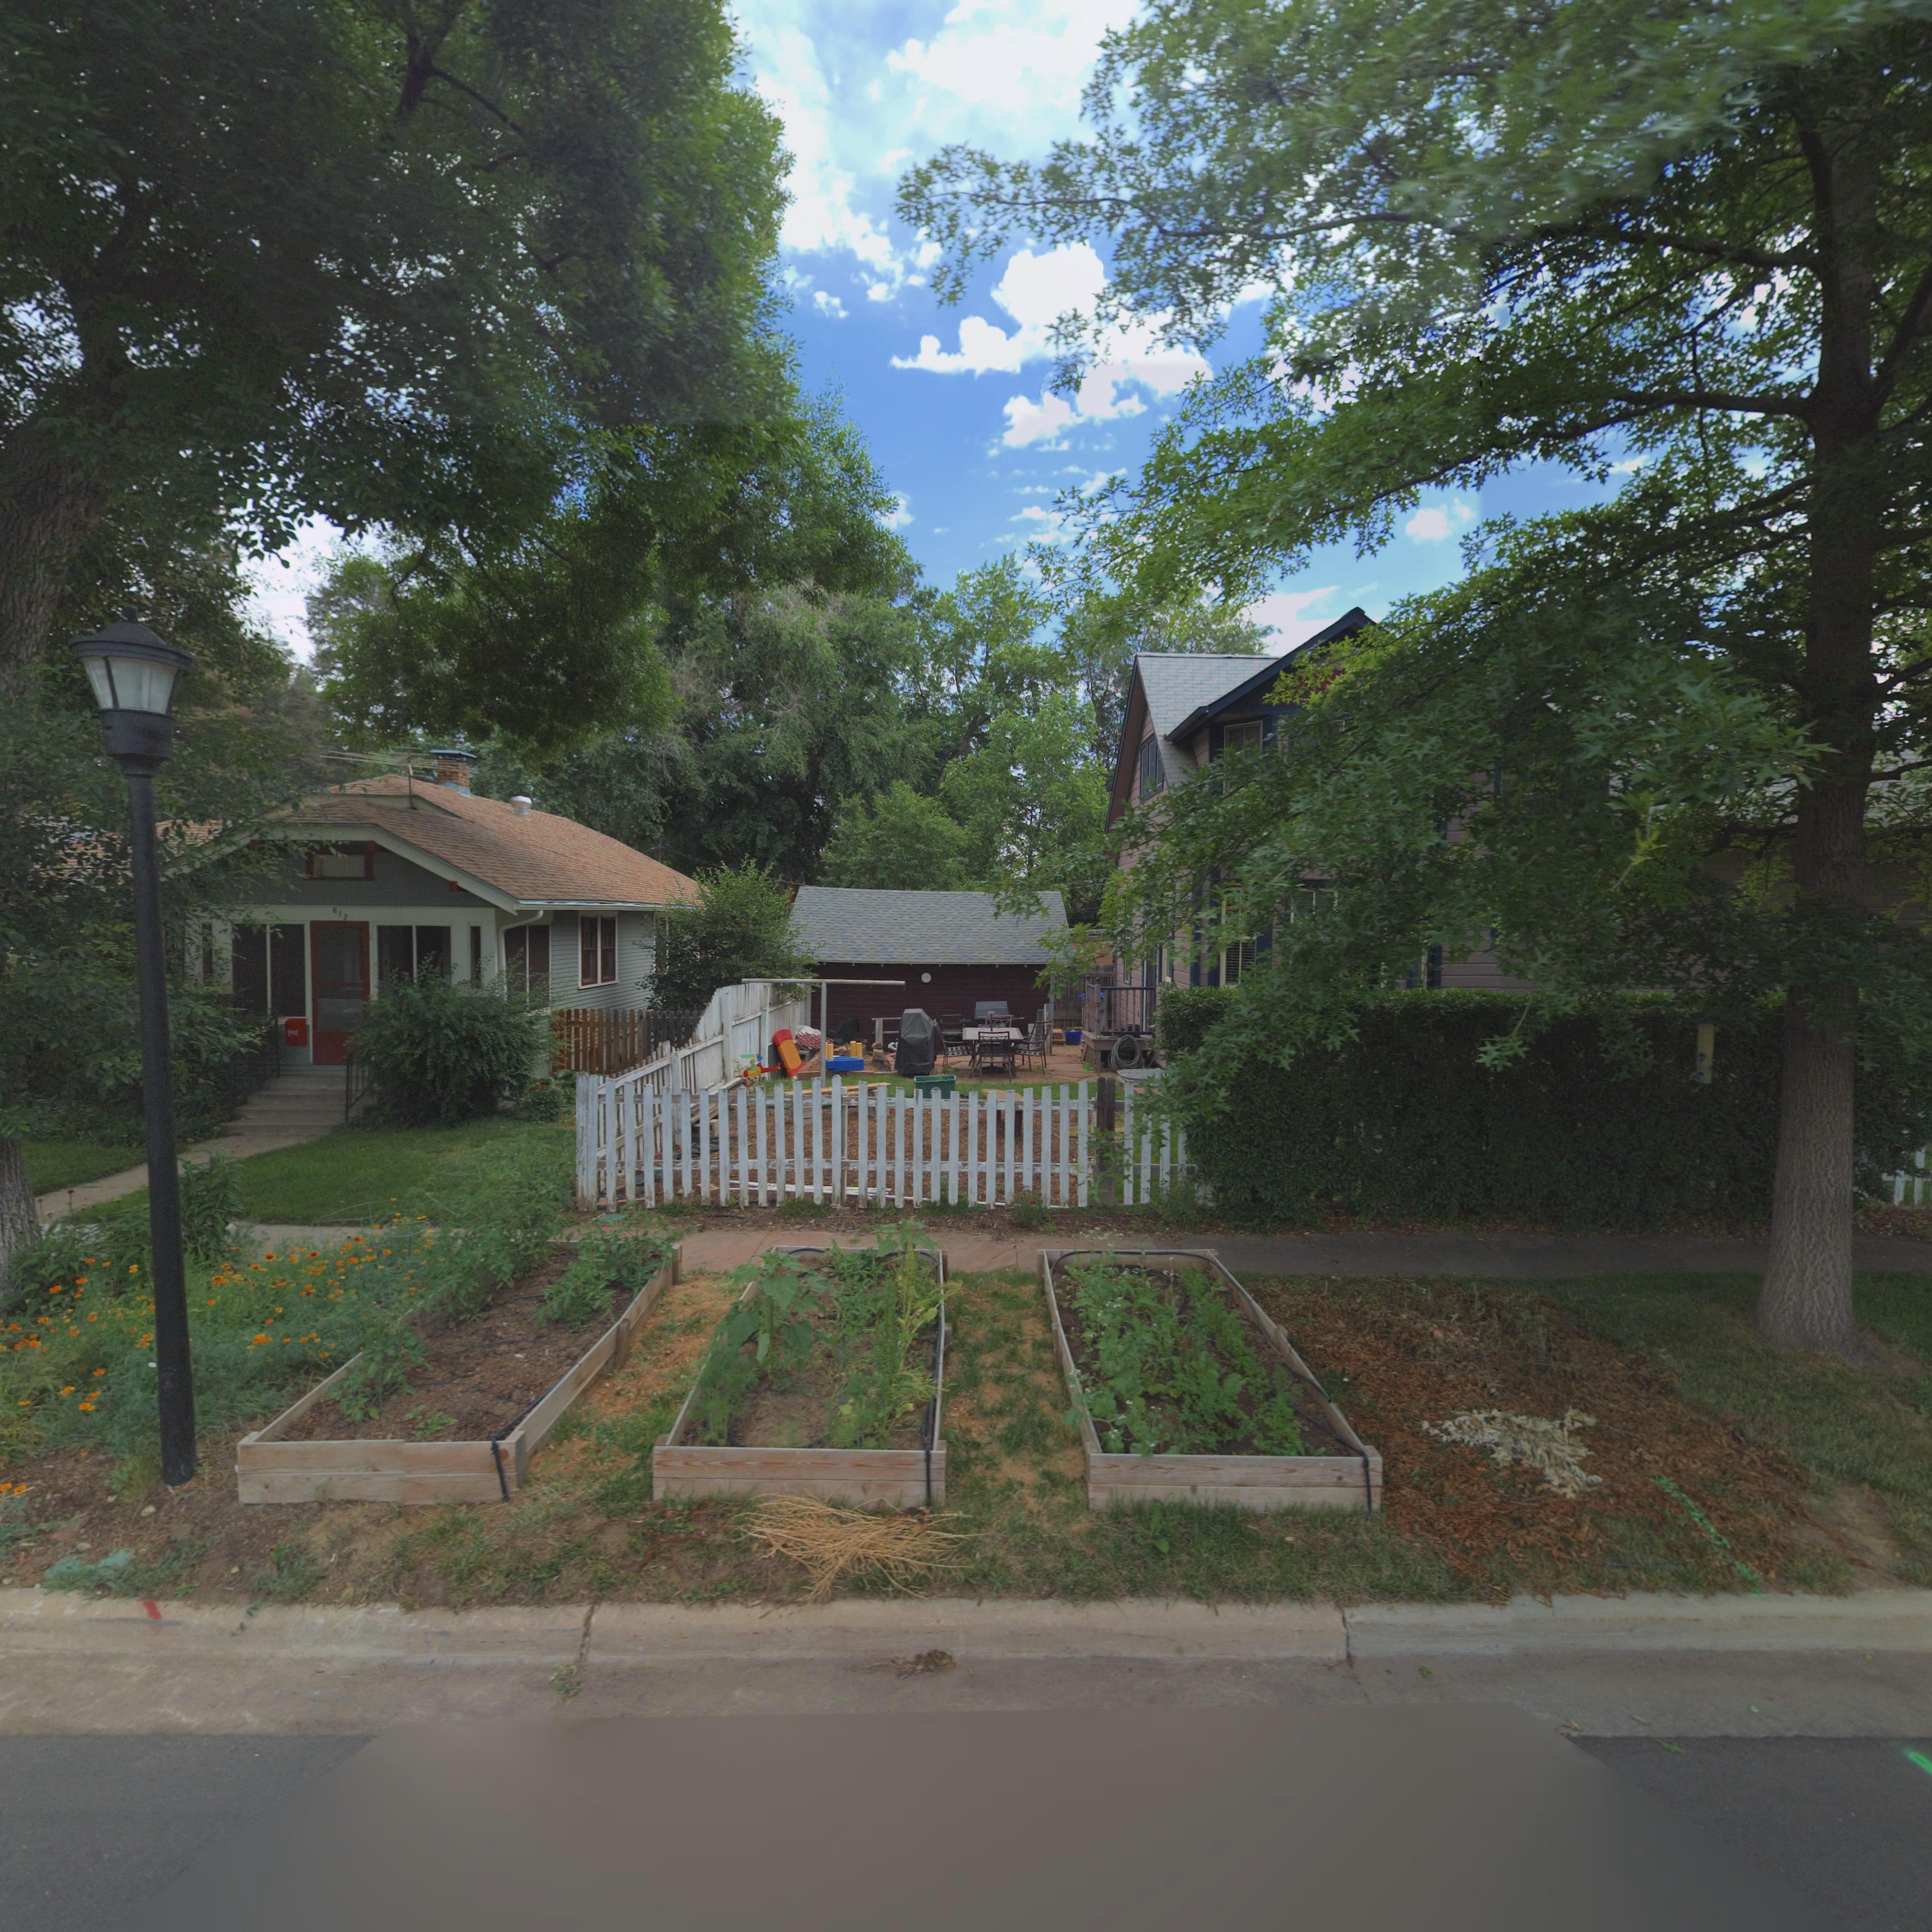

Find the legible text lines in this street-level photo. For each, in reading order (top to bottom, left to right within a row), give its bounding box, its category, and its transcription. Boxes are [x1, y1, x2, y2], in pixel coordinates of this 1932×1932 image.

[332, 906, 348, 920] StreetNumber: 612